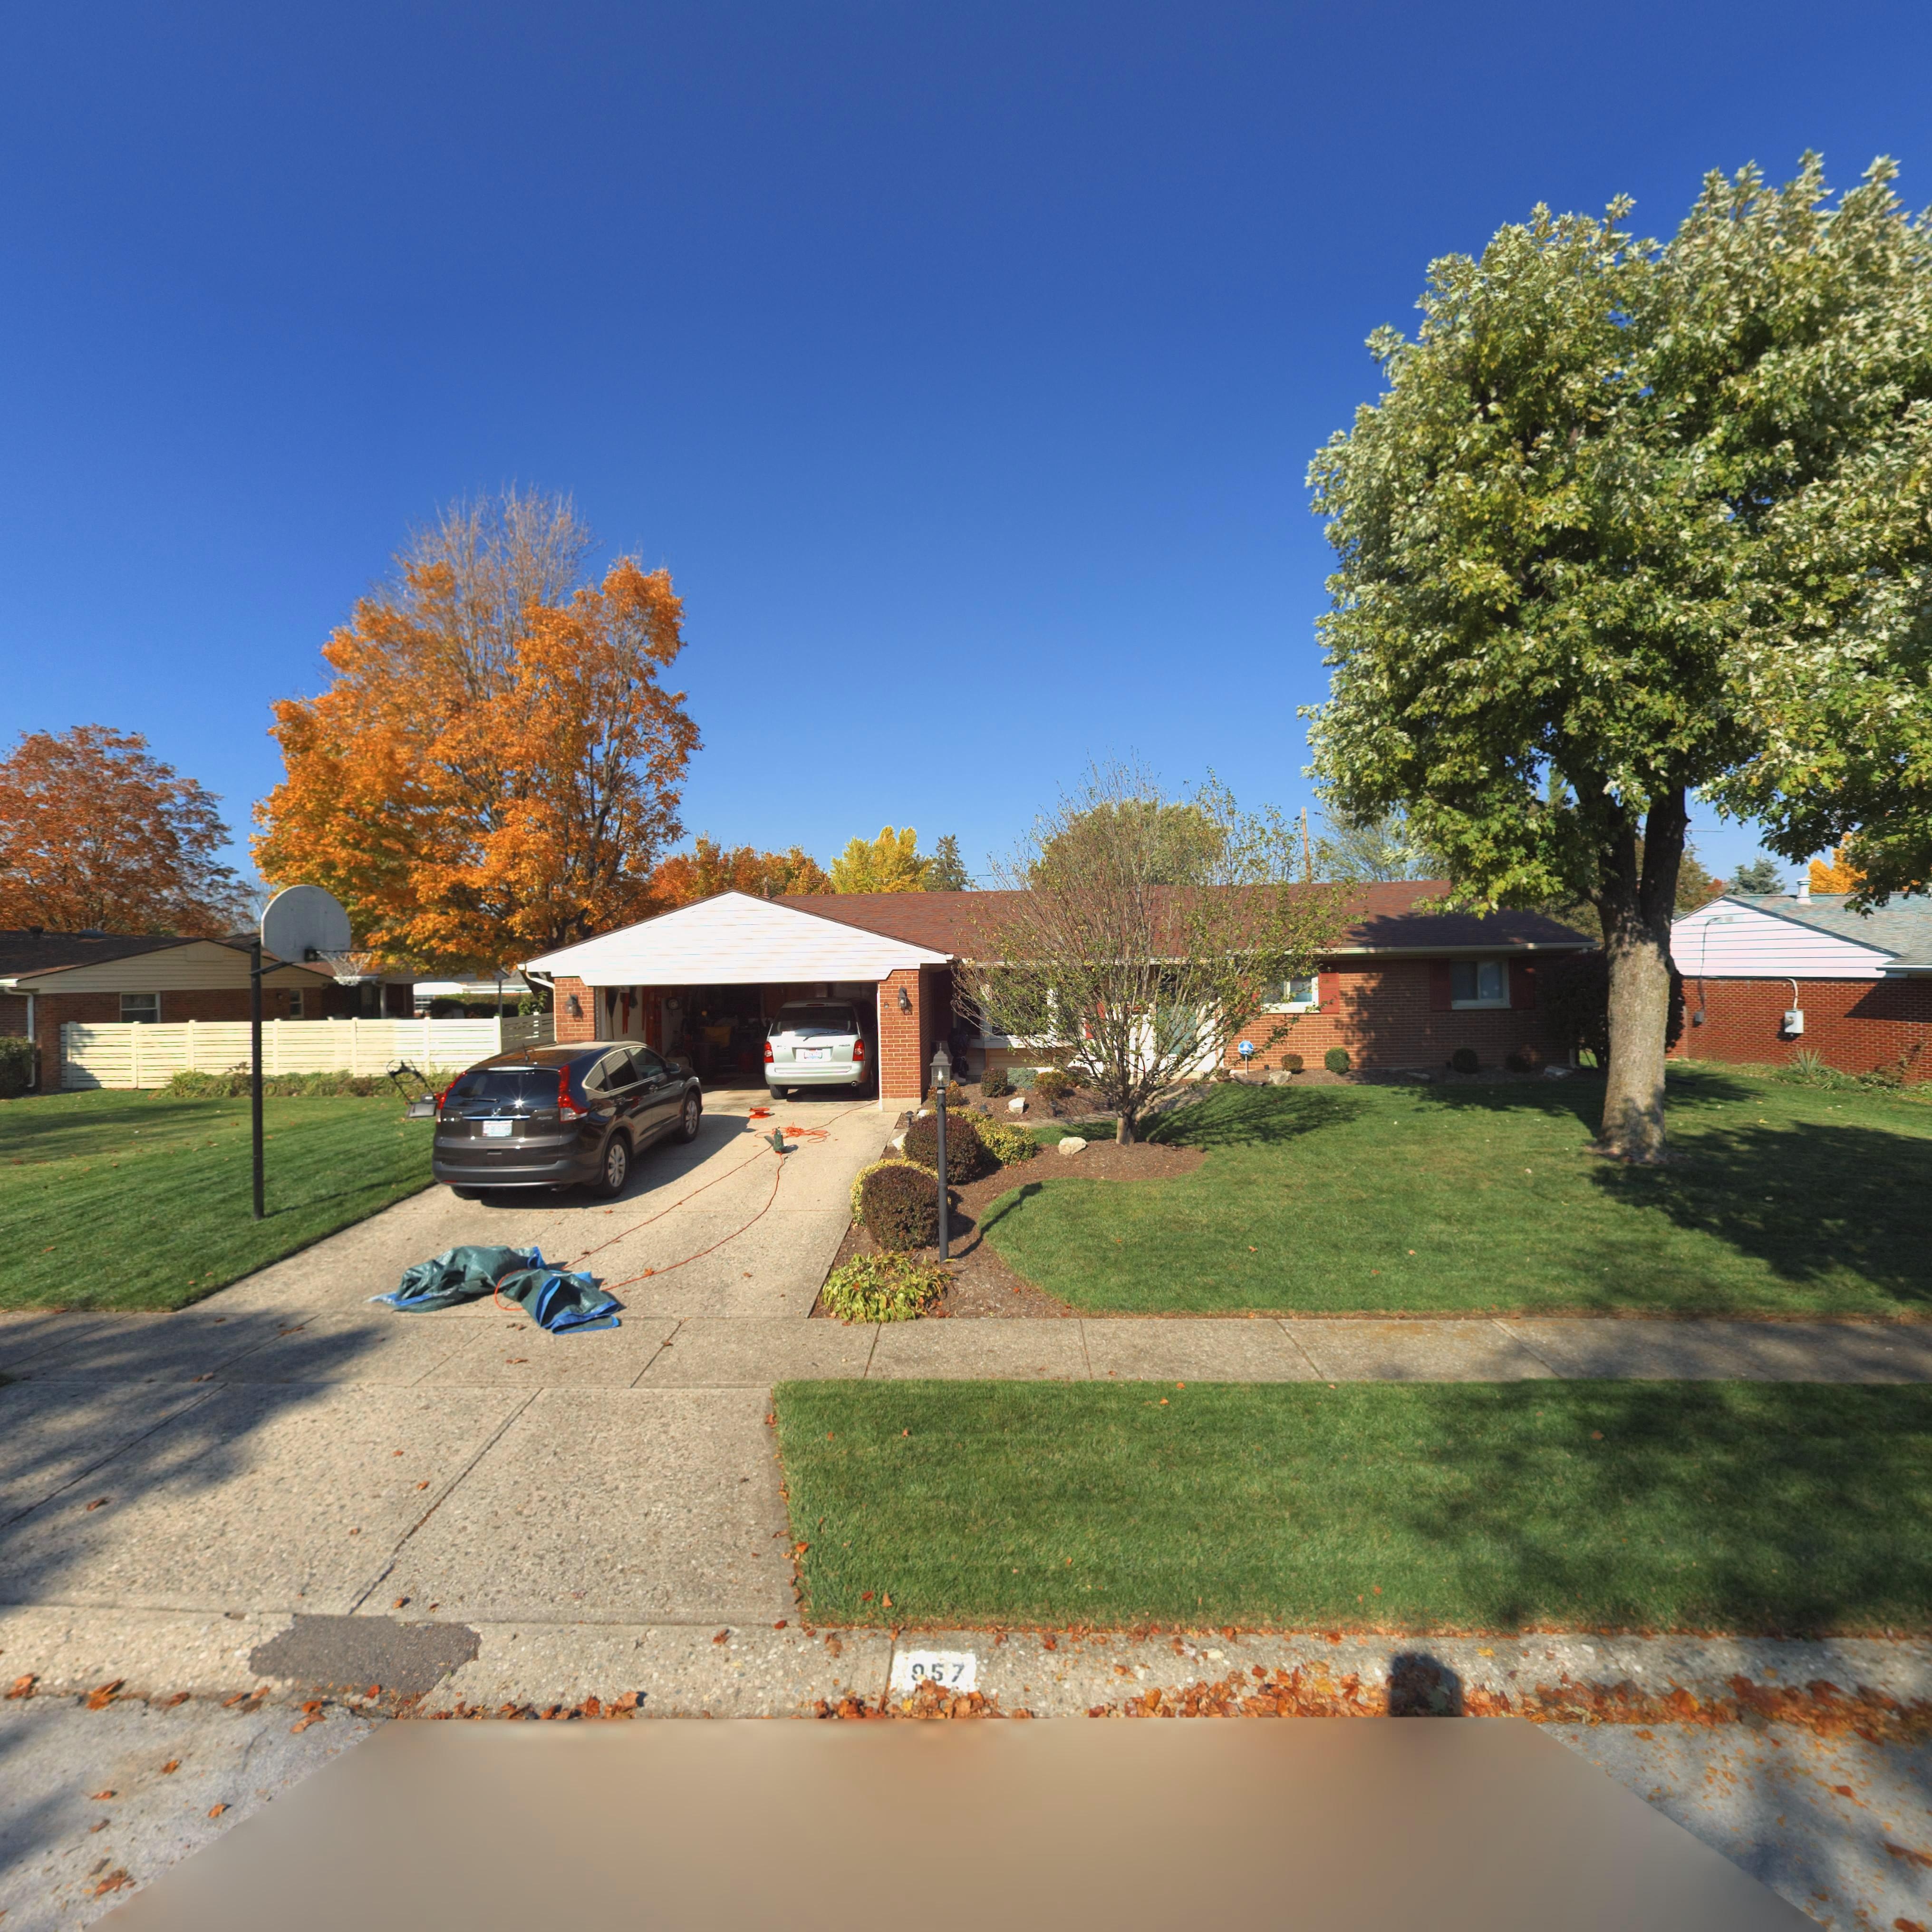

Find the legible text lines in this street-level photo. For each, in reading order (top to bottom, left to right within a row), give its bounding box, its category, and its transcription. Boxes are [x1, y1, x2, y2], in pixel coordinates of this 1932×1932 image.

[911, 1662, 965, 1682] StreetNumber: *57